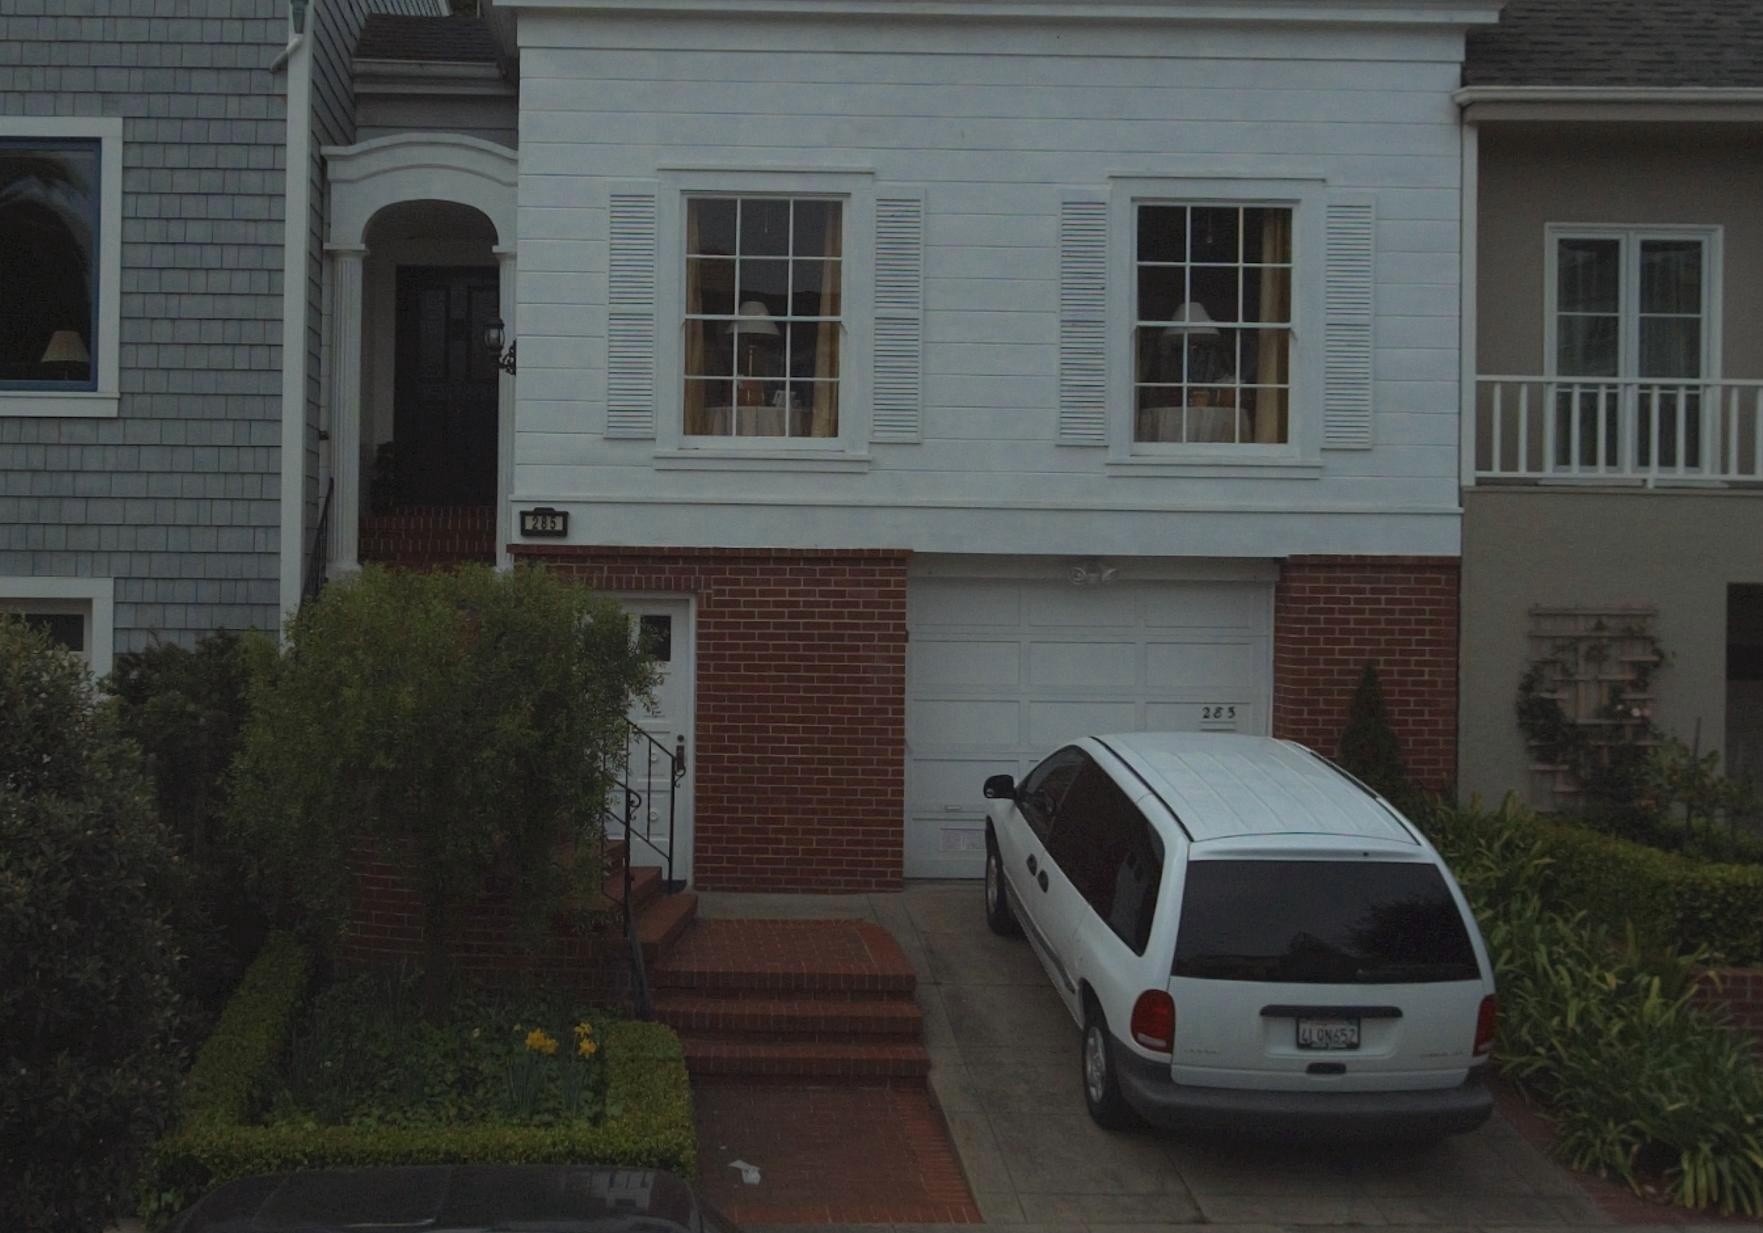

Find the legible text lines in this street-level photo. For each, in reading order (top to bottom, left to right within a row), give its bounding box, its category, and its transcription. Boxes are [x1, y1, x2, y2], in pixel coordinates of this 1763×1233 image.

[531, 514, 557, 530] StreetNumber: 285
[1201, 705, 1236, 720] StreetNumber: 285
[1301, 1026, 1356, 1044] None: 4LQN65*